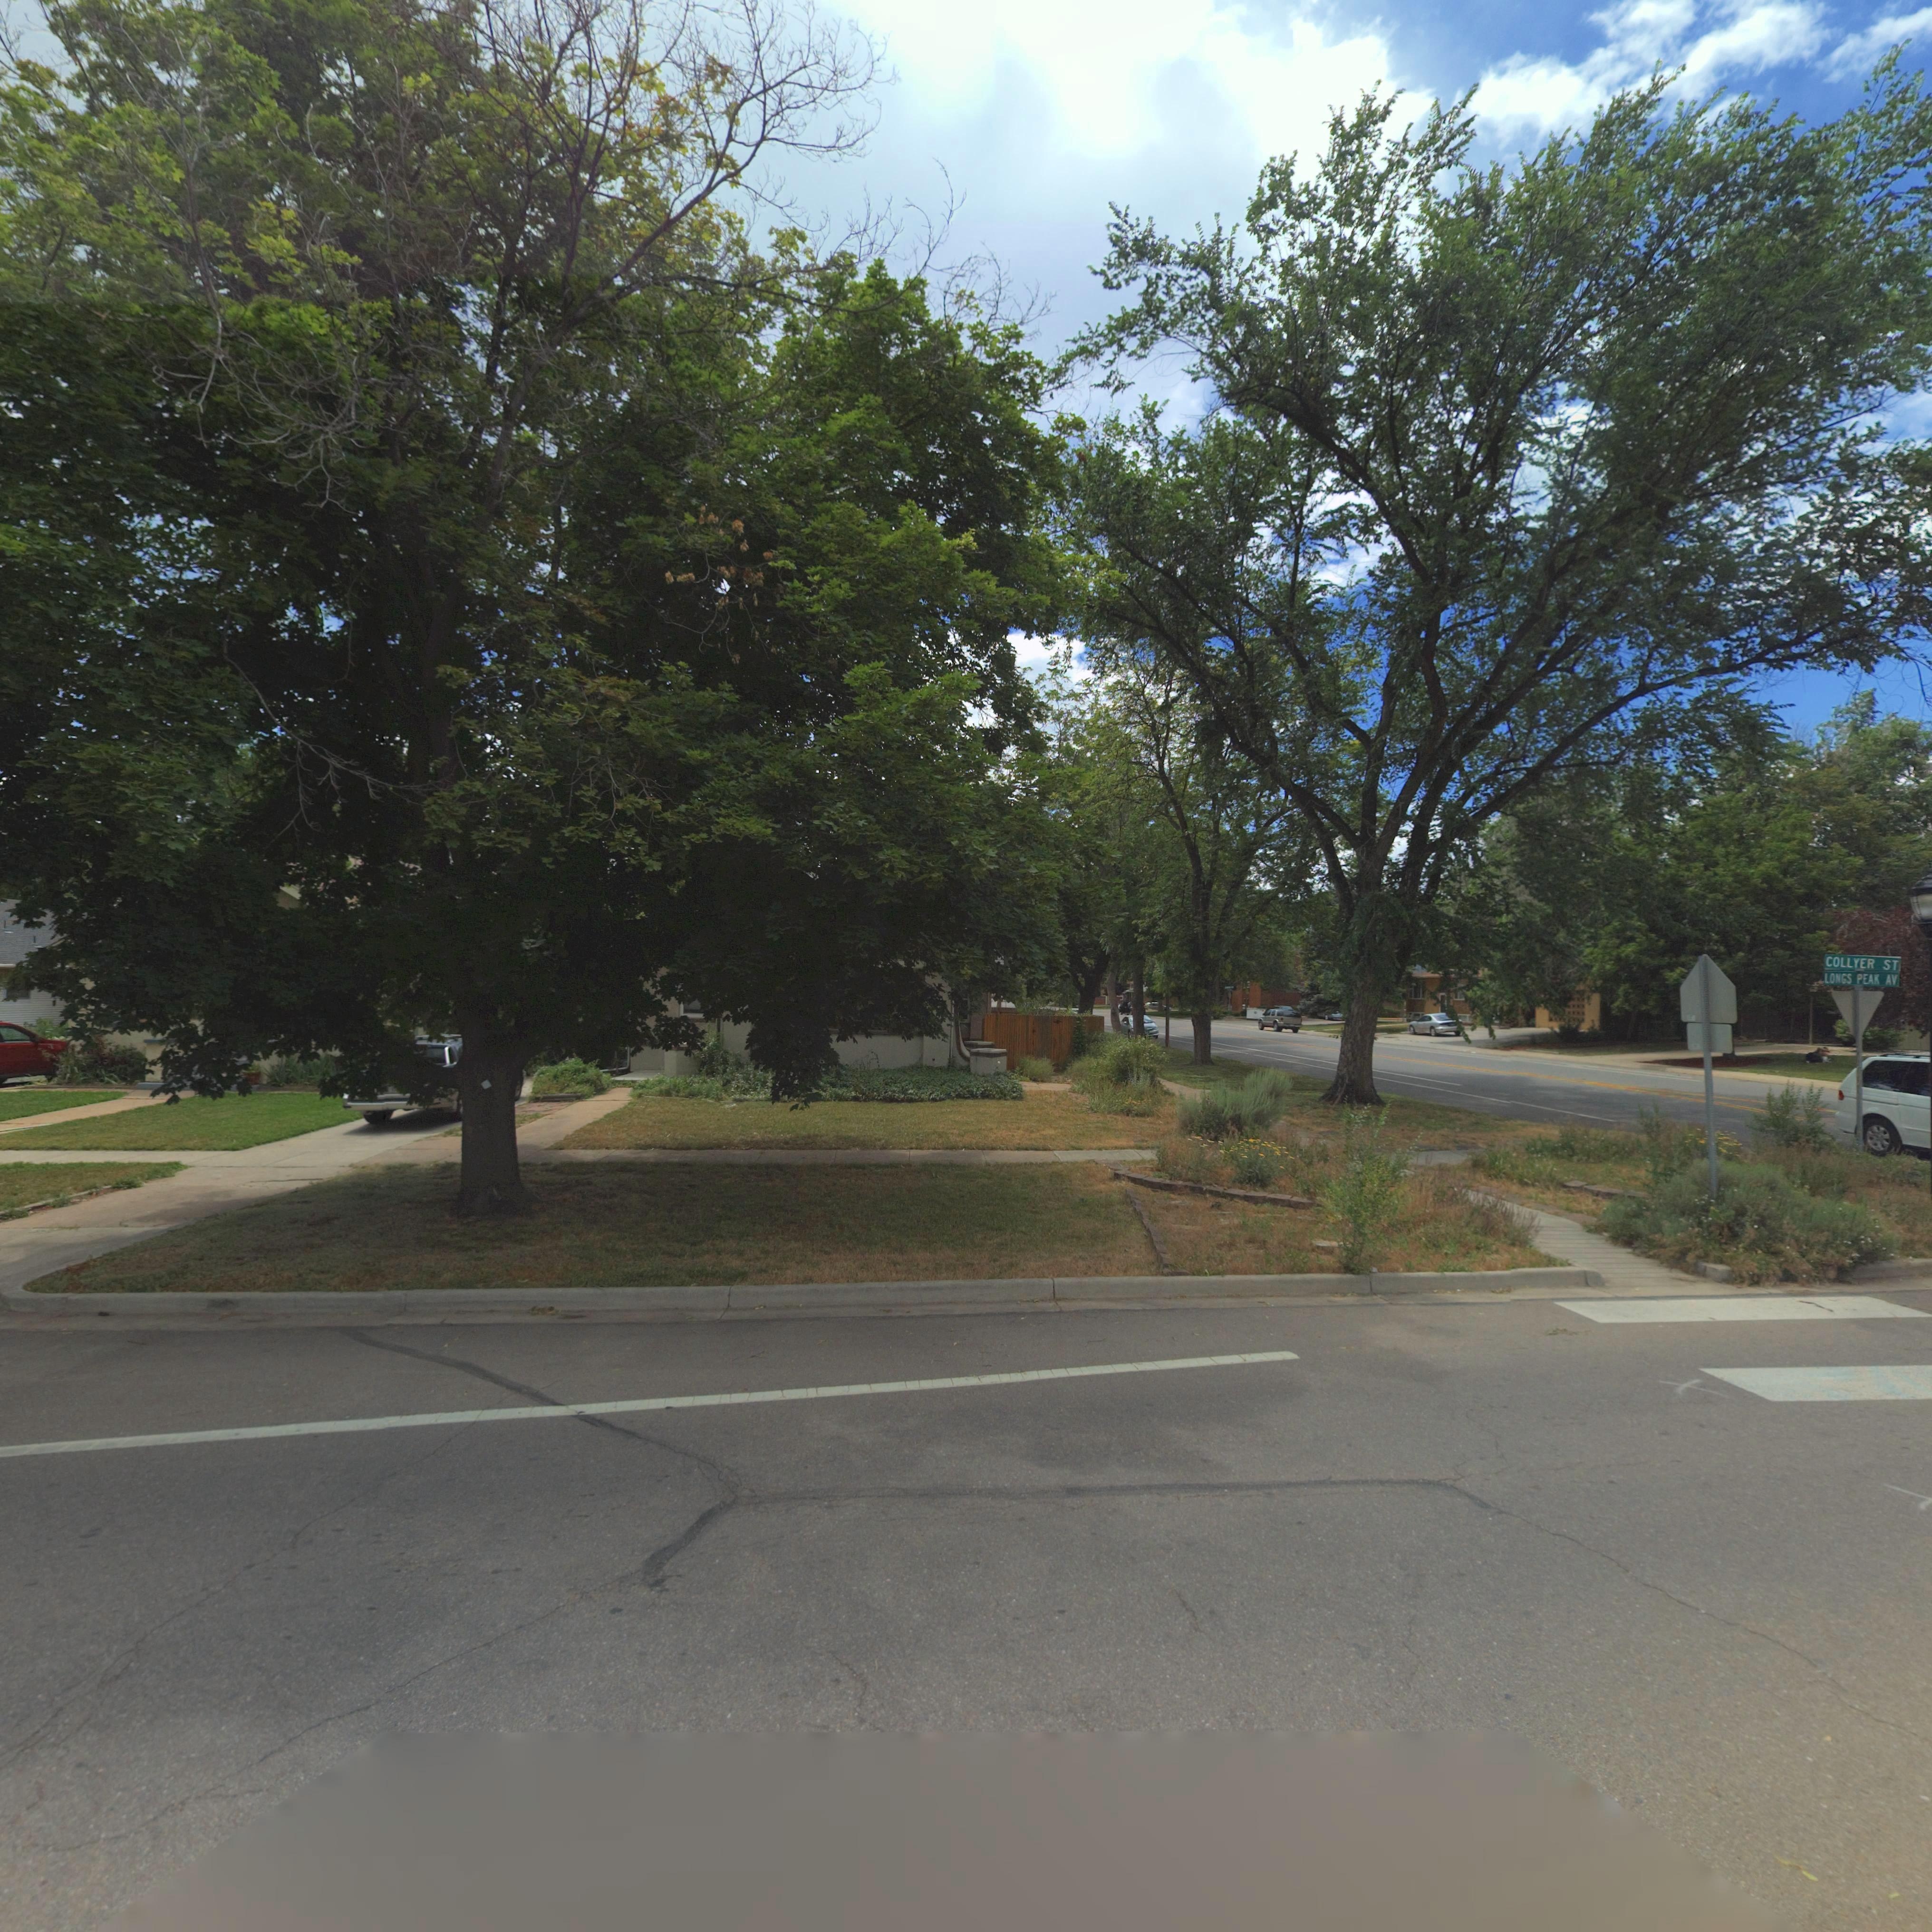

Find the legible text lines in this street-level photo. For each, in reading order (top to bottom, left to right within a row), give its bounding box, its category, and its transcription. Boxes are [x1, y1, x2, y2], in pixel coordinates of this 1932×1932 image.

[1825, 956, 1900, 970] StreetName: COLLYER ST
[1824, 973, 1898, 985] StreetName: LONGS PEAK AV